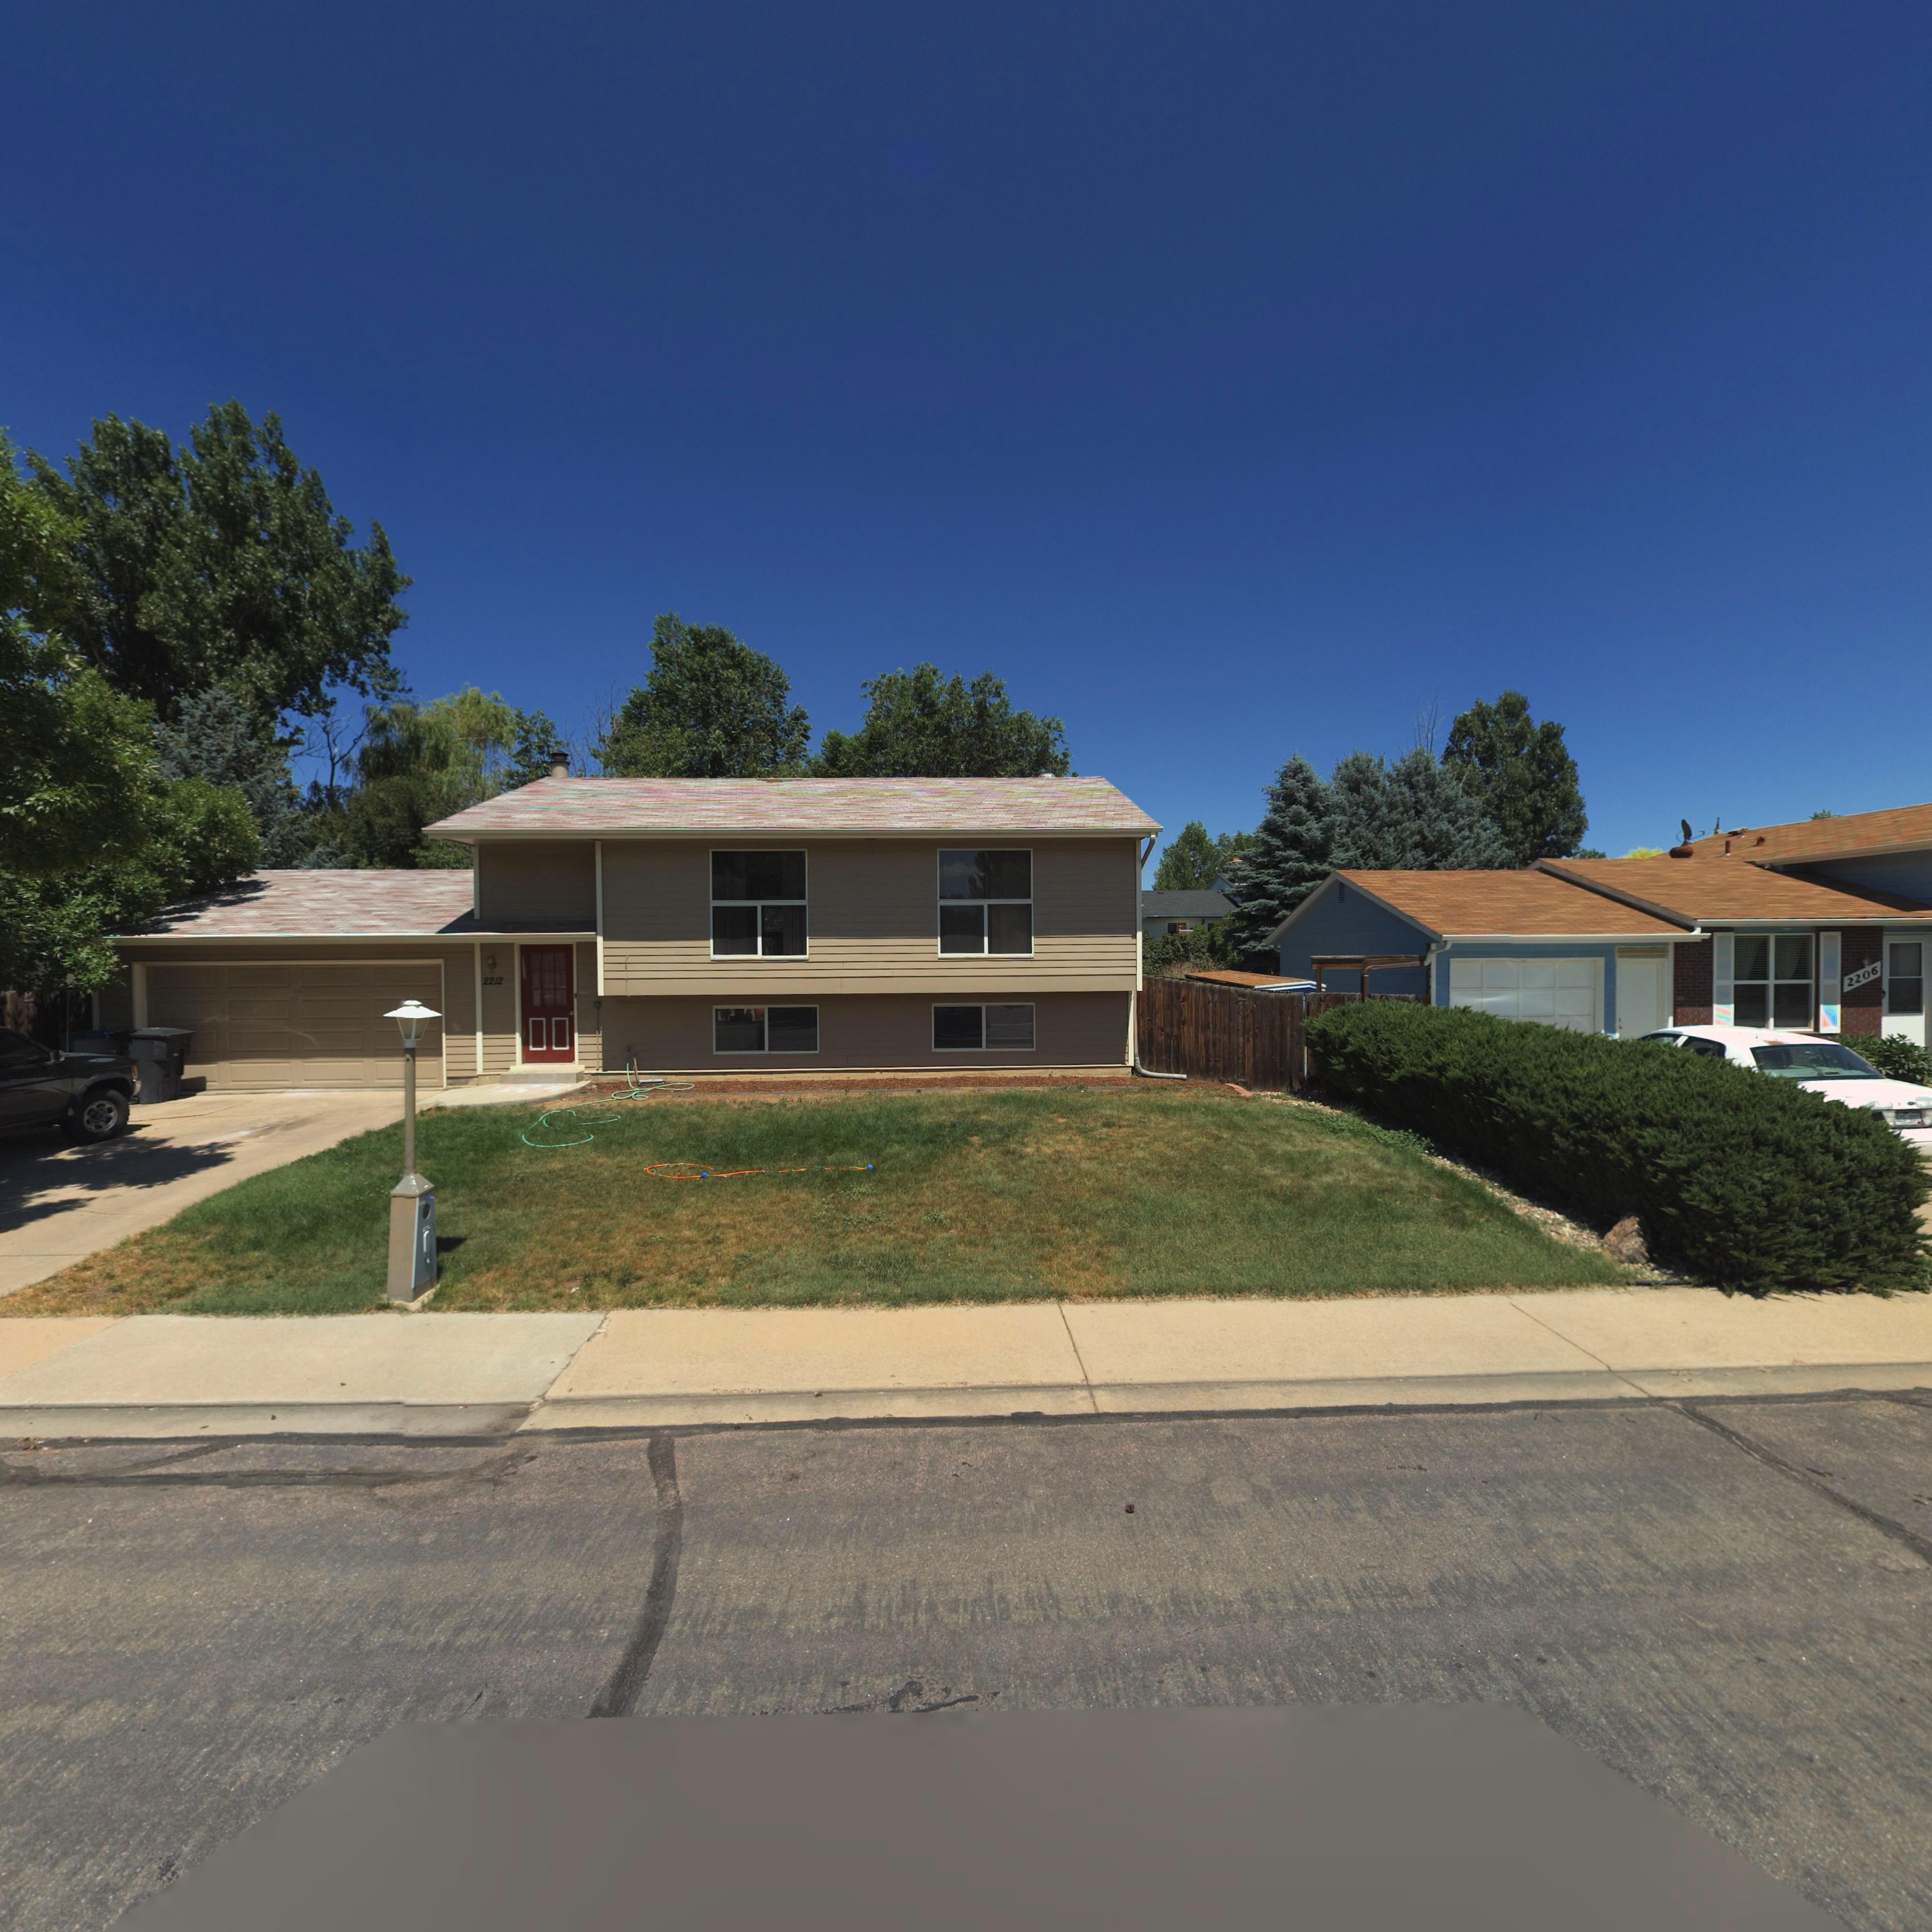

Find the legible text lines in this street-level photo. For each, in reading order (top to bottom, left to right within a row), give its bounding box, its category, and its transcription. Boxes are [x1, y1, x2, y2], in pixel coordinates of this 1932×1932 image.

[482, 976, 504, 985] StreetNumber: 2212
[1847, 965, 1879, 987] StreetNumber: 2206